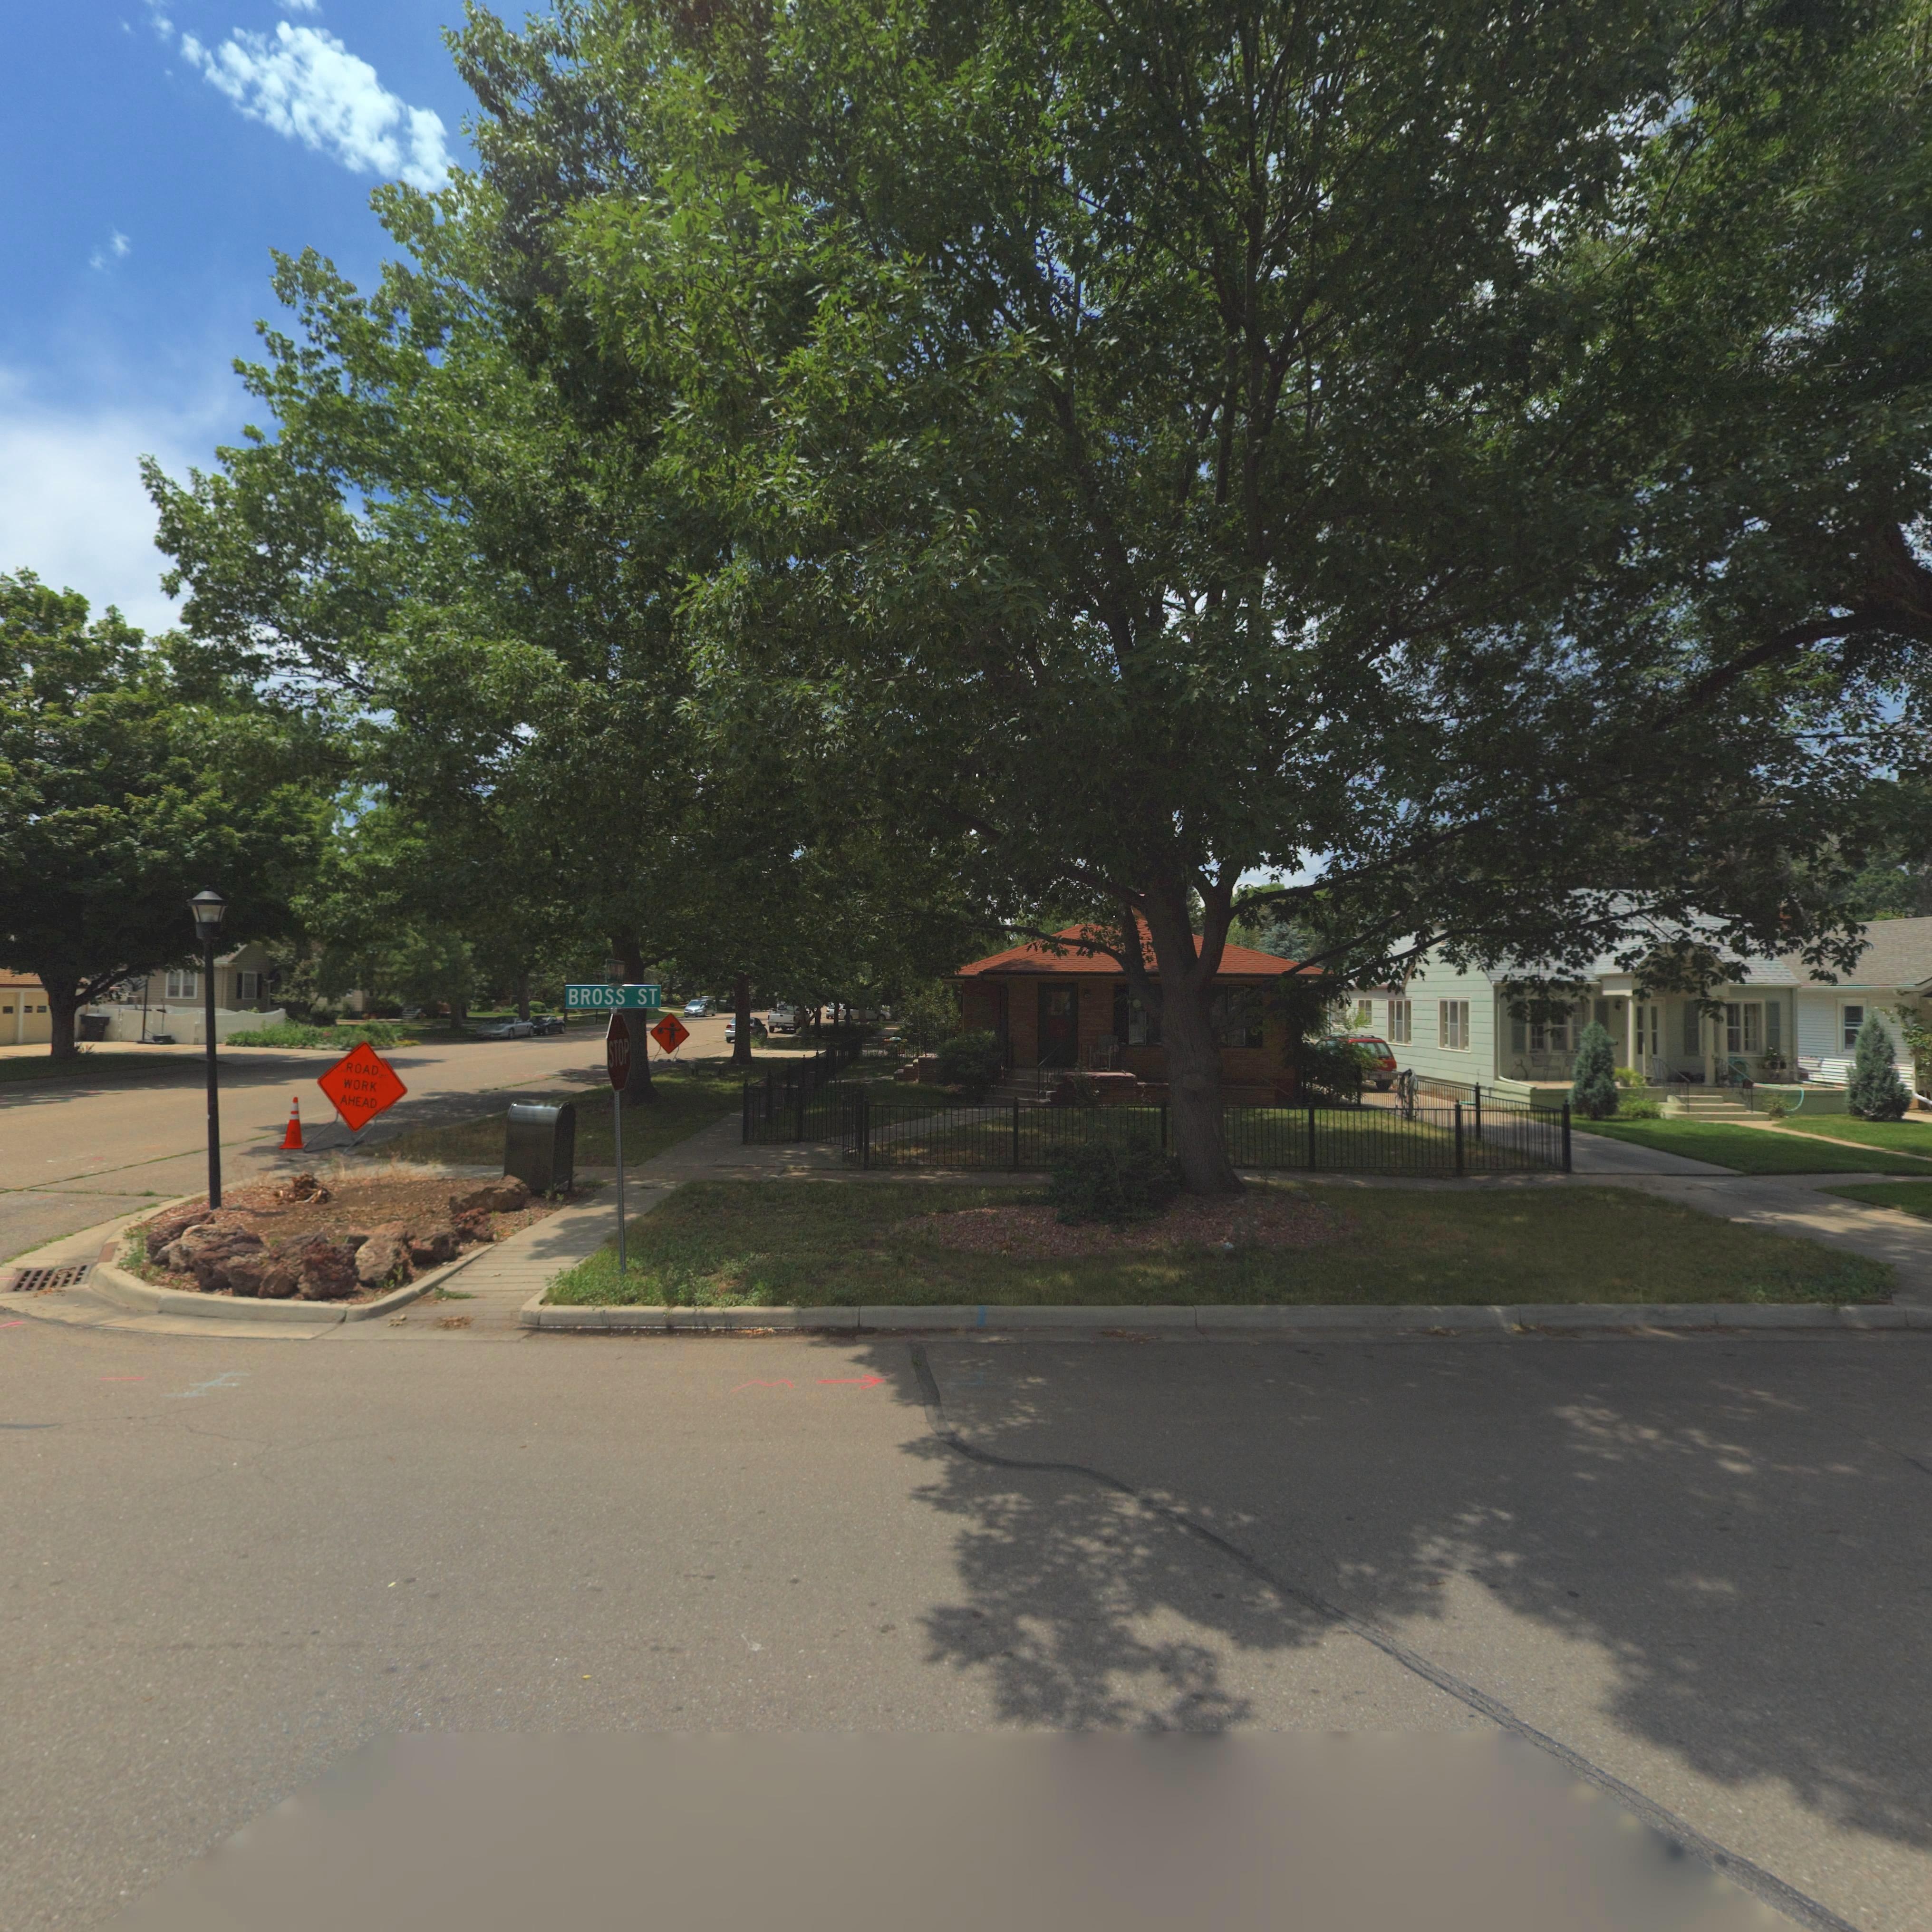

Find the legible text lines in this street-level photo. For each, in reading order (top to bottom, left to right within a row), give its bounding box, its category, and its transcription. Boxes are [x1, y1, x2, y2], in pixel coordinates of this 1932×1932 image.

[606, 962, 626, 980] StreetName: 6TH AV
[568, 987, 658, 1005] StreetName: BROSS ST